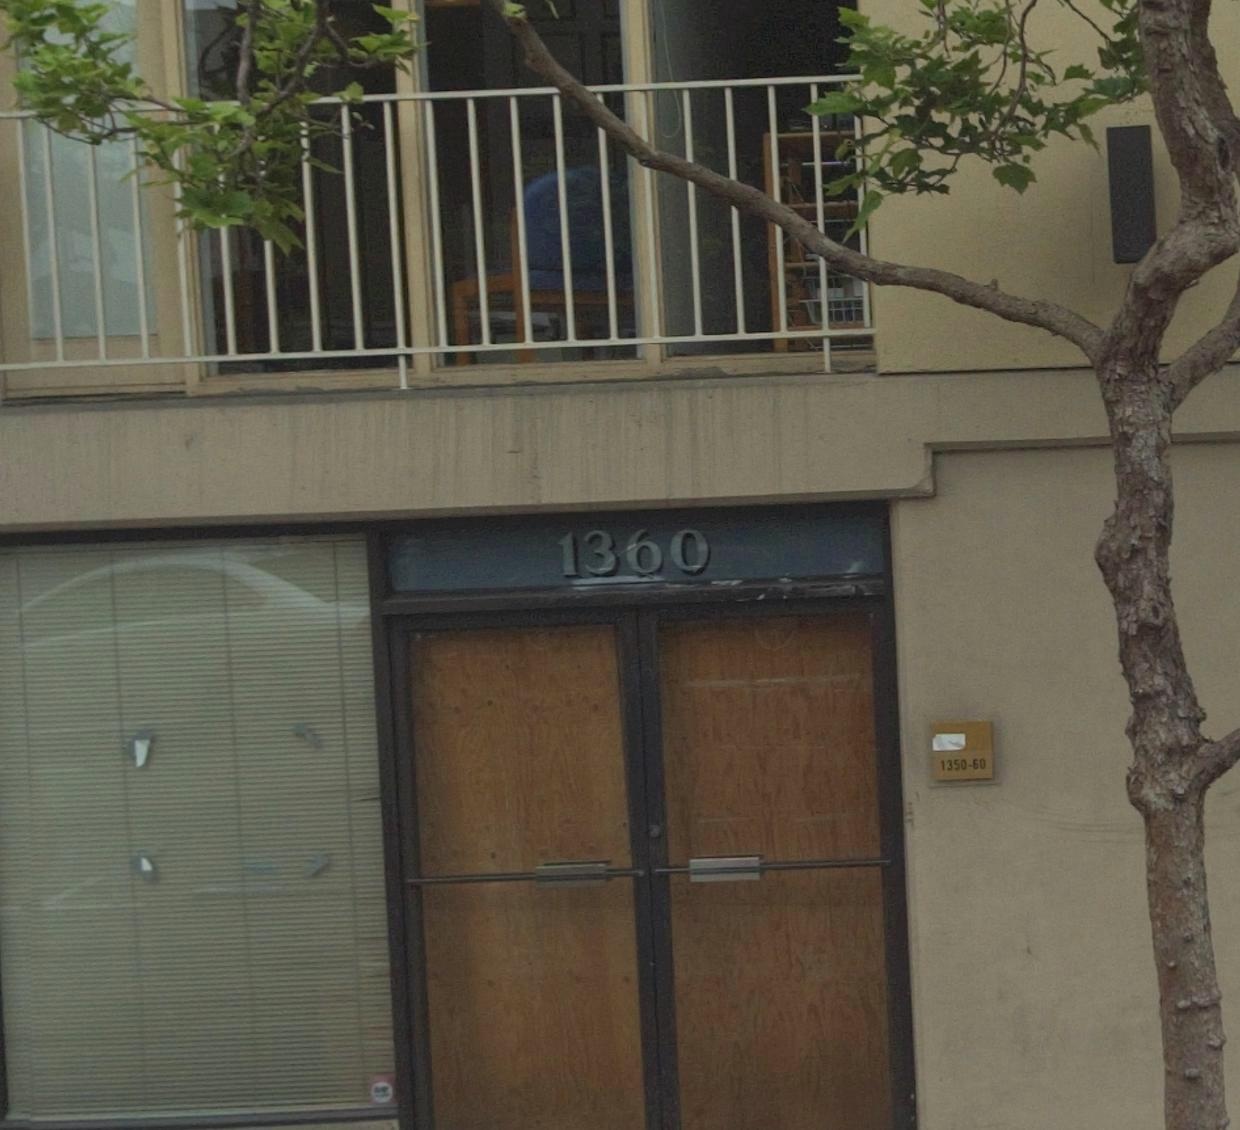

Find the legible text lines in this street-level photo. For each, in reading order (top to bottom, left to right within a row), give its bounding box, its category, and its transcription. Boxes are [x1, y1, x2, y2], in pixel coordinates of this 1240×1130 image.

[553, 523, 711, 579] StreetNumber: 1360
[939, 757, 968, 772] StreetNumber: 1350
[972, 757, 987, 770] StreetNumber: 60